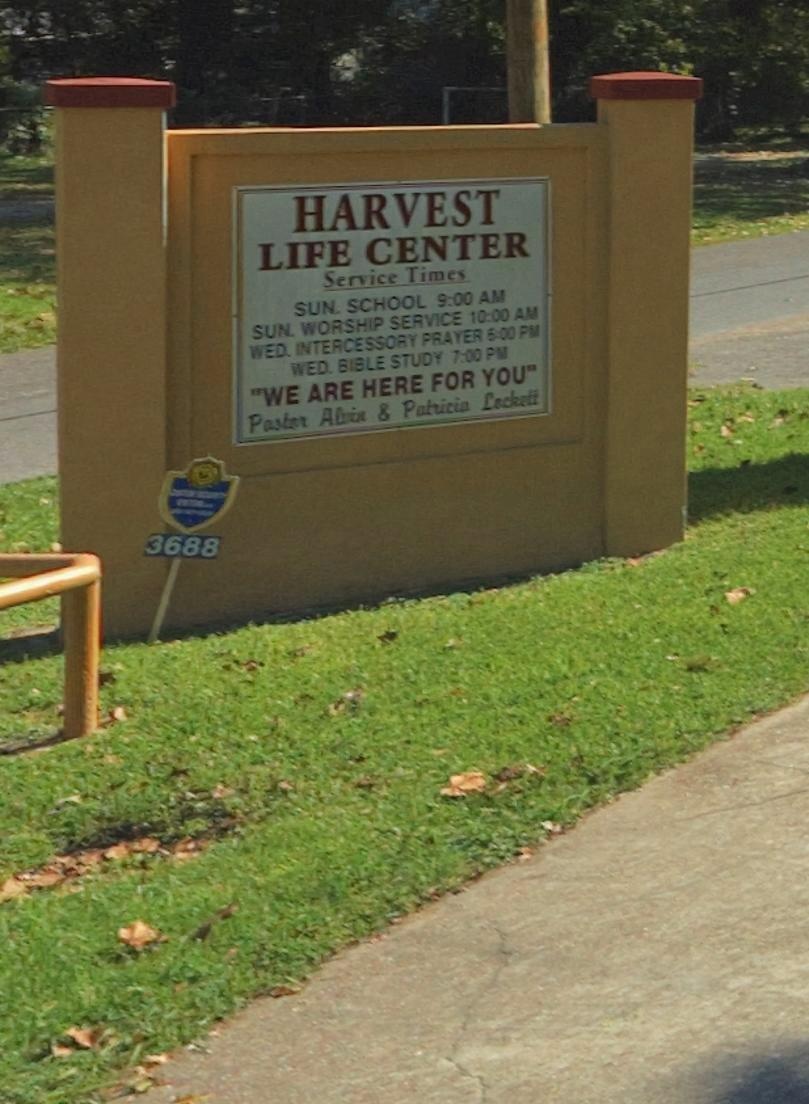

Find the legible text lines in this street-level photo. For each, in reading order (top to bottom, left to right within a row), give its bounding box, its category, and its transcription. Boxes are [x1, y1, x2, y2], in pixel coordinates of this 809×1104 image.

[290, 187, 504, 235] BusinessName: HARVEST
[257, 231, 533, 272] BusinessName: LIFE CENTER
[321, 264, 469, 290] None: Service Times
[247, 322, 542, 362] None: WED INTERCESSORY PRAYER 6:00 PM
[250, 304, 540, 342] None: SUN WORSHIP SERVICE 10:00 AM
[293, 288, 507, 320] None: SUN SCHOOL 9:00 AM
[289, 343, 511, 377] None: WED BIBLE STUDY 7:00 PM
[260, 363, 530, 408] None: WE ARE HERE FOR YOU
[246, 385, 542, 436] None: Paster Alvin & Patricia Lockett
[144, 533, 221, 559] StreetNumber: 3688